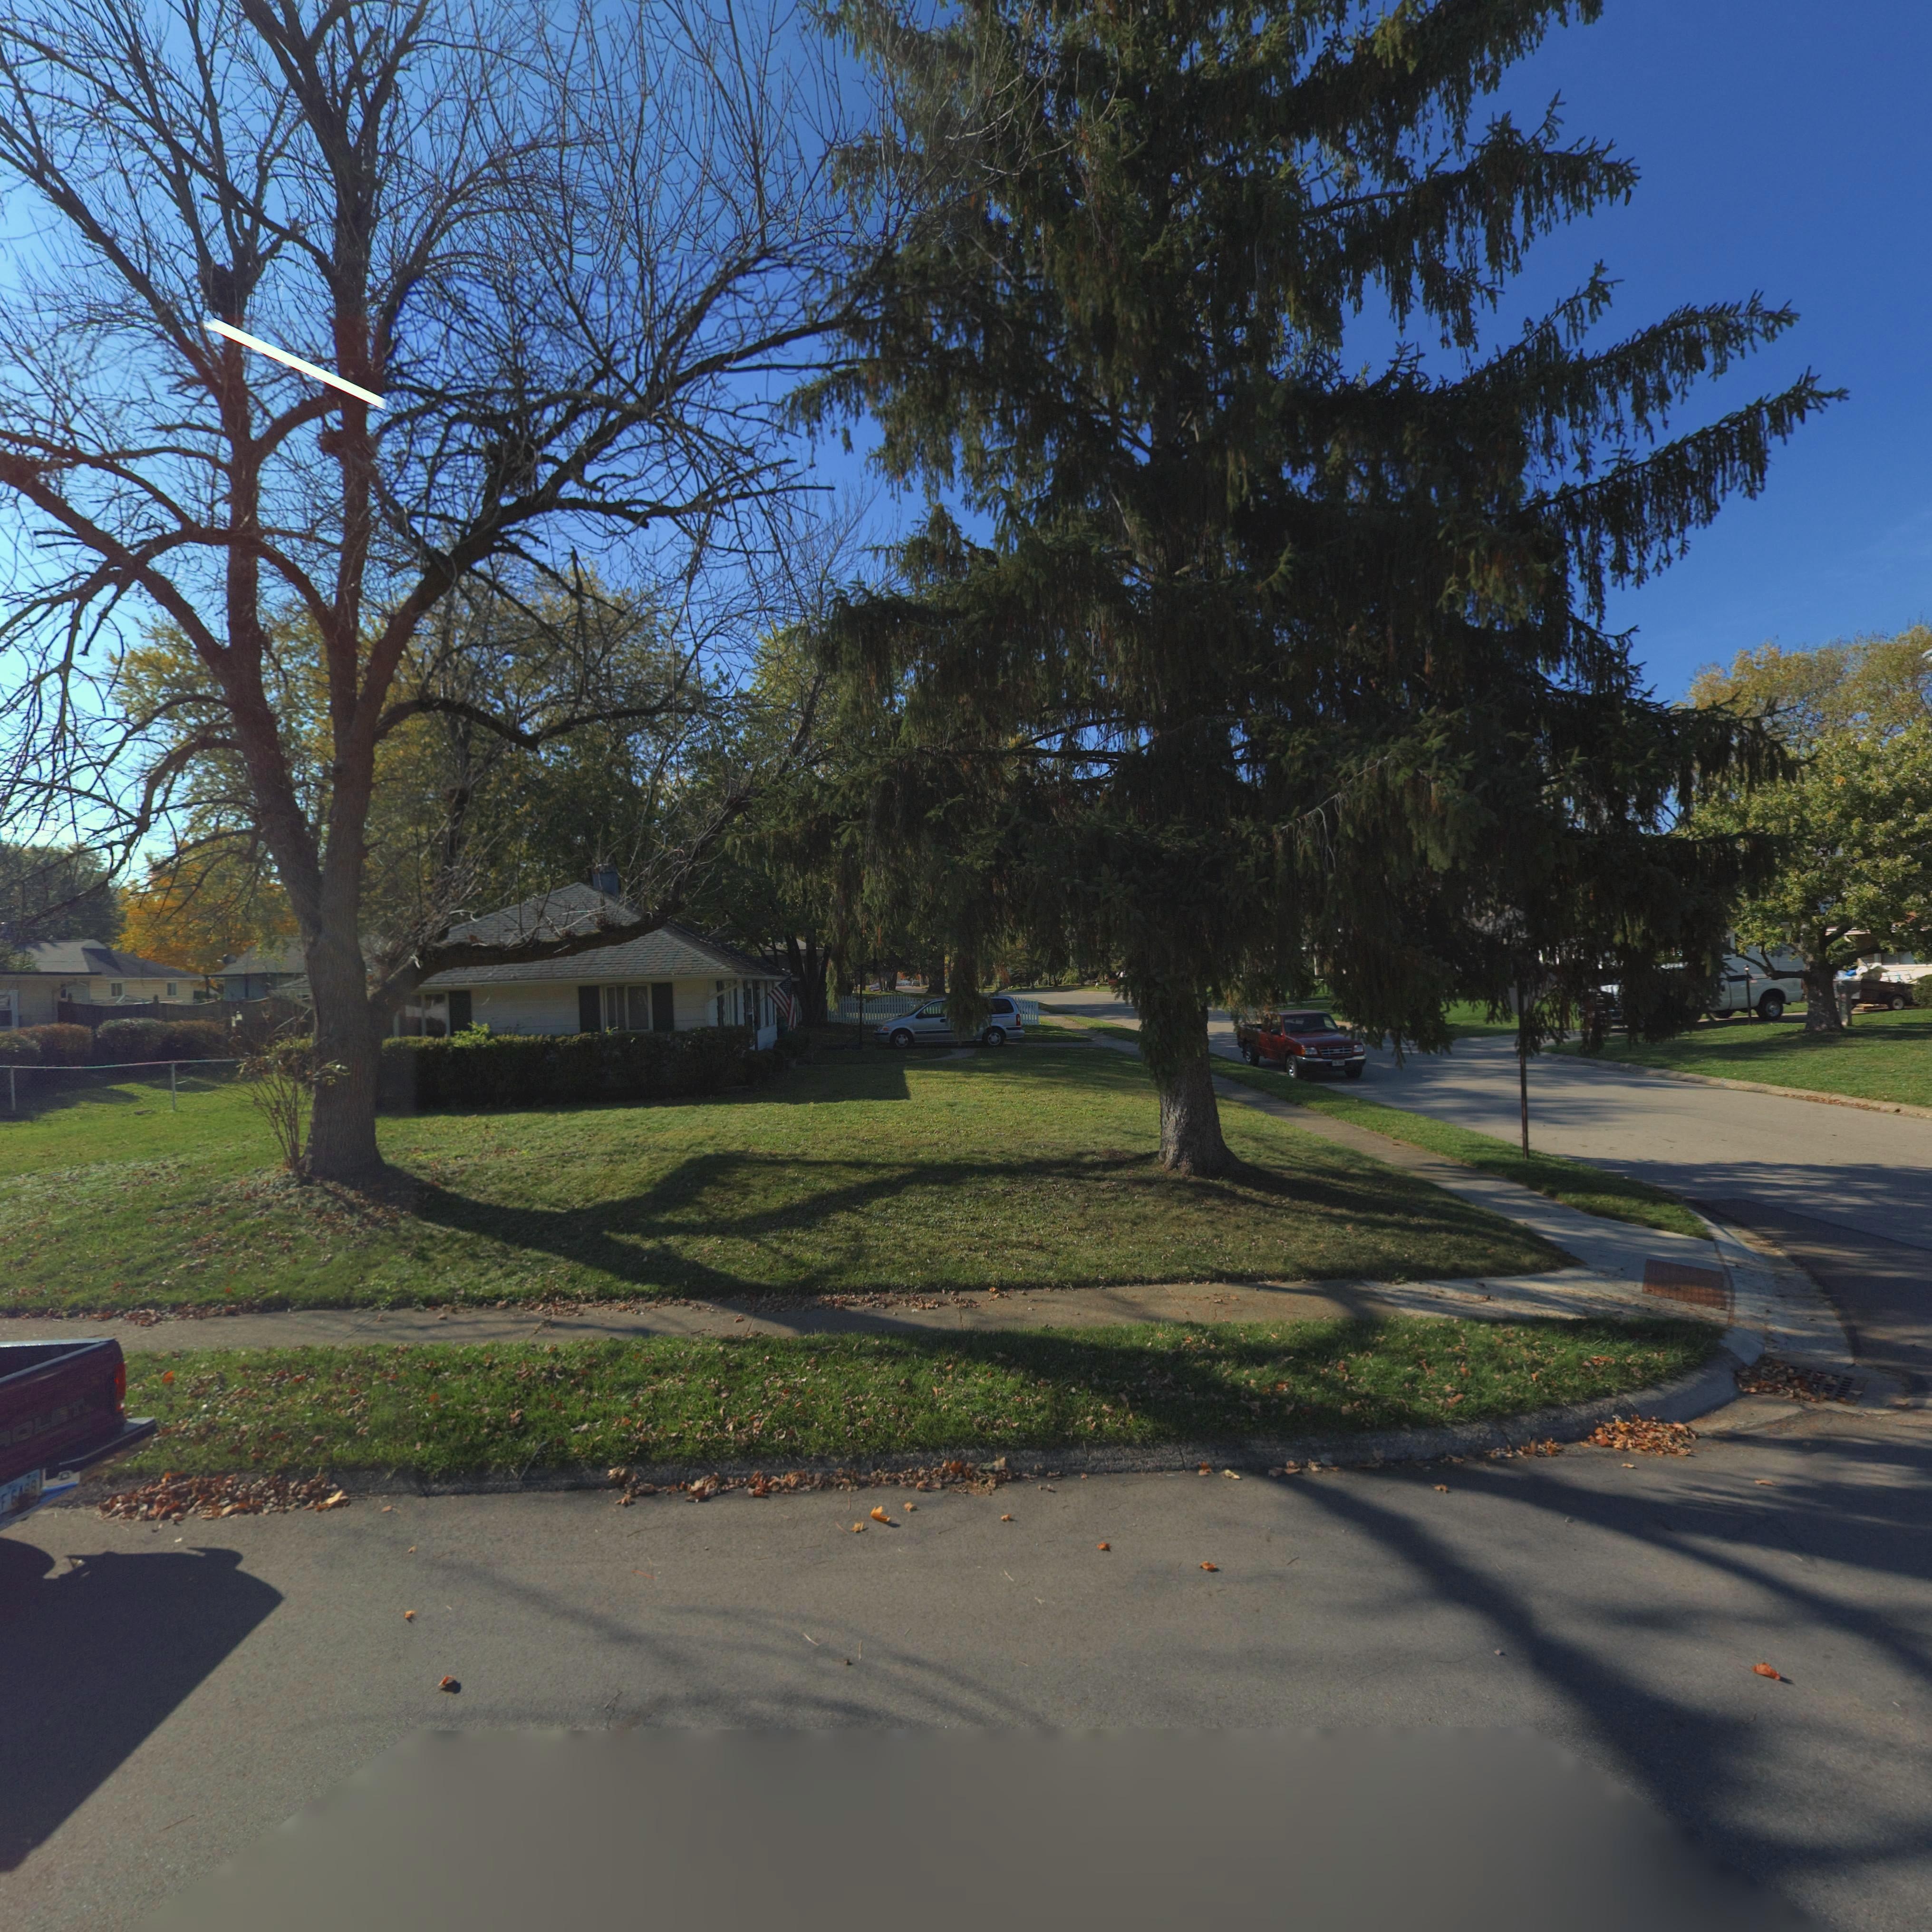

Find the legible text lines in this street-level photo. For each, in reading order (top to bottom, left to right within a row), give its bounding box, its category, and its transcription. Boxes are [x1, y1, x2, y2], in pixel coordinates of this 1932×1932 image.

[12, 1396, 86, 1445] None: OLET
[0, 1478, 38, 1512] None: F*6**8